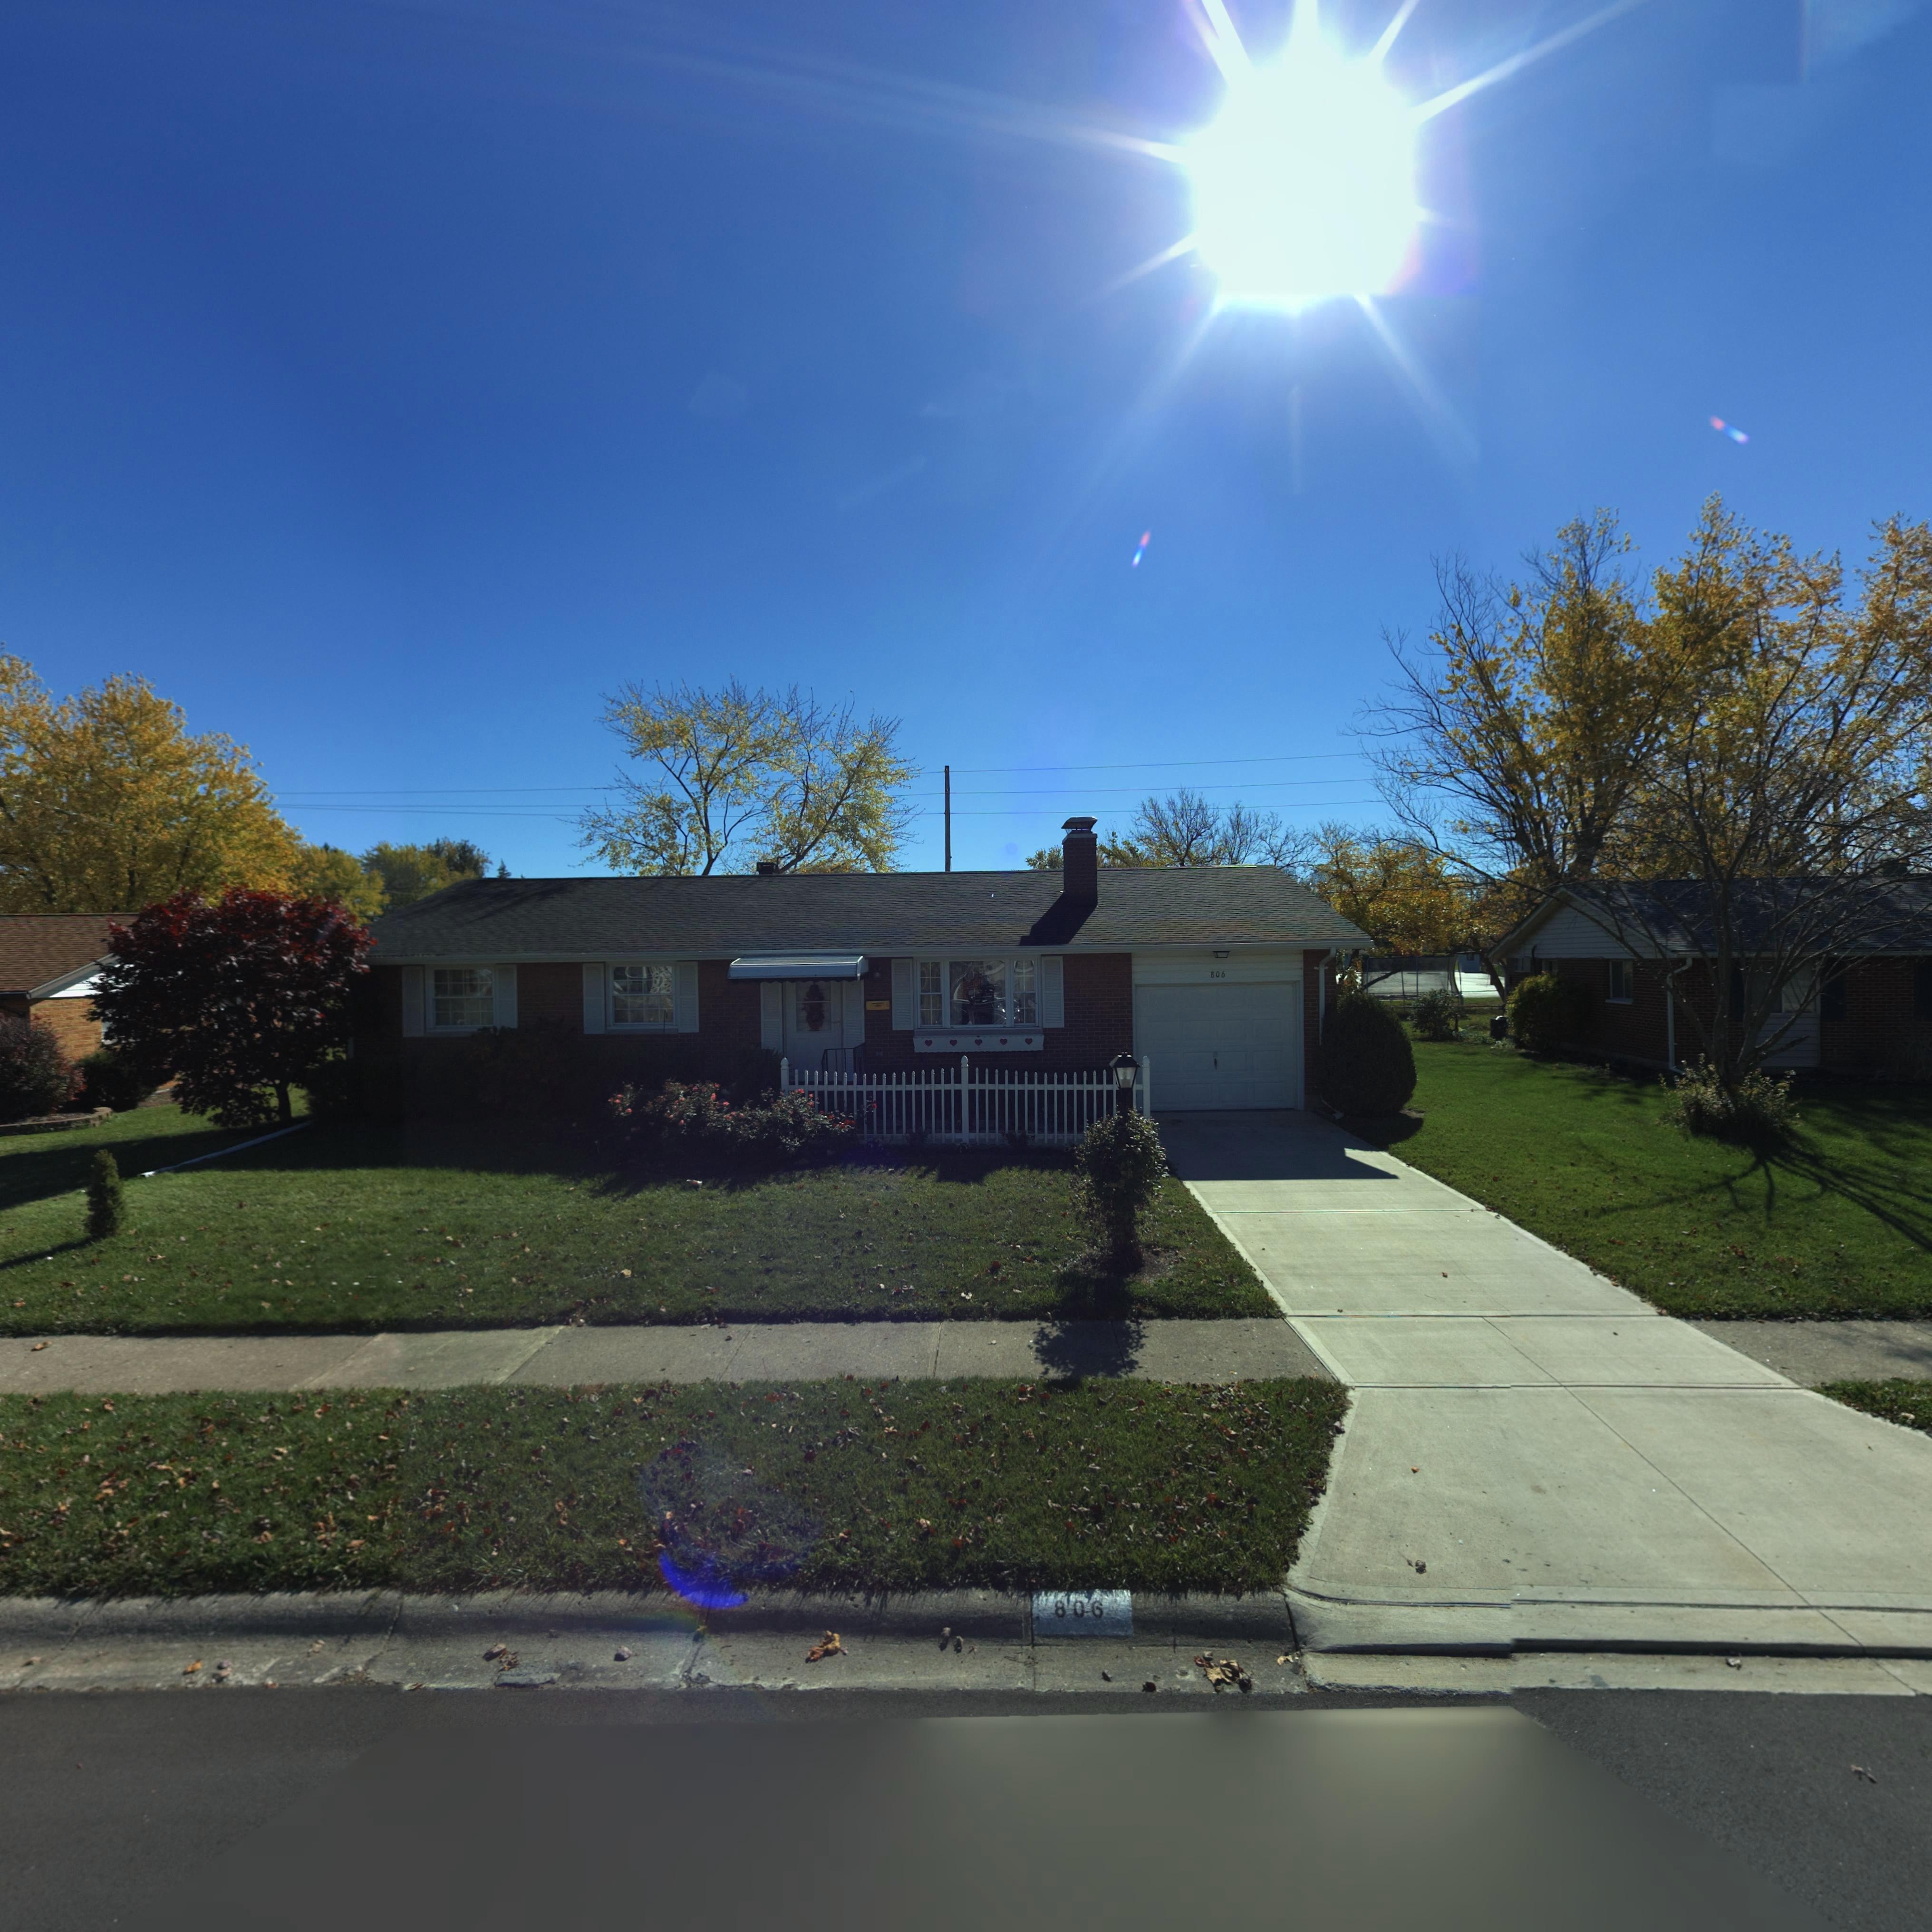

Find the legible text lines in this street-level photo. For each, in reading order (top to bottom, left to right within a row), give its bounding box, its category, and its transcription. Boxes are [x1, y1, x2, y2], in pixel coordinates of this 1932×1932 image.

[1210, 970, 1226, 978] StreetNumber: 806
[1054, 1600, 1104, 1620] StreetNumber: 806